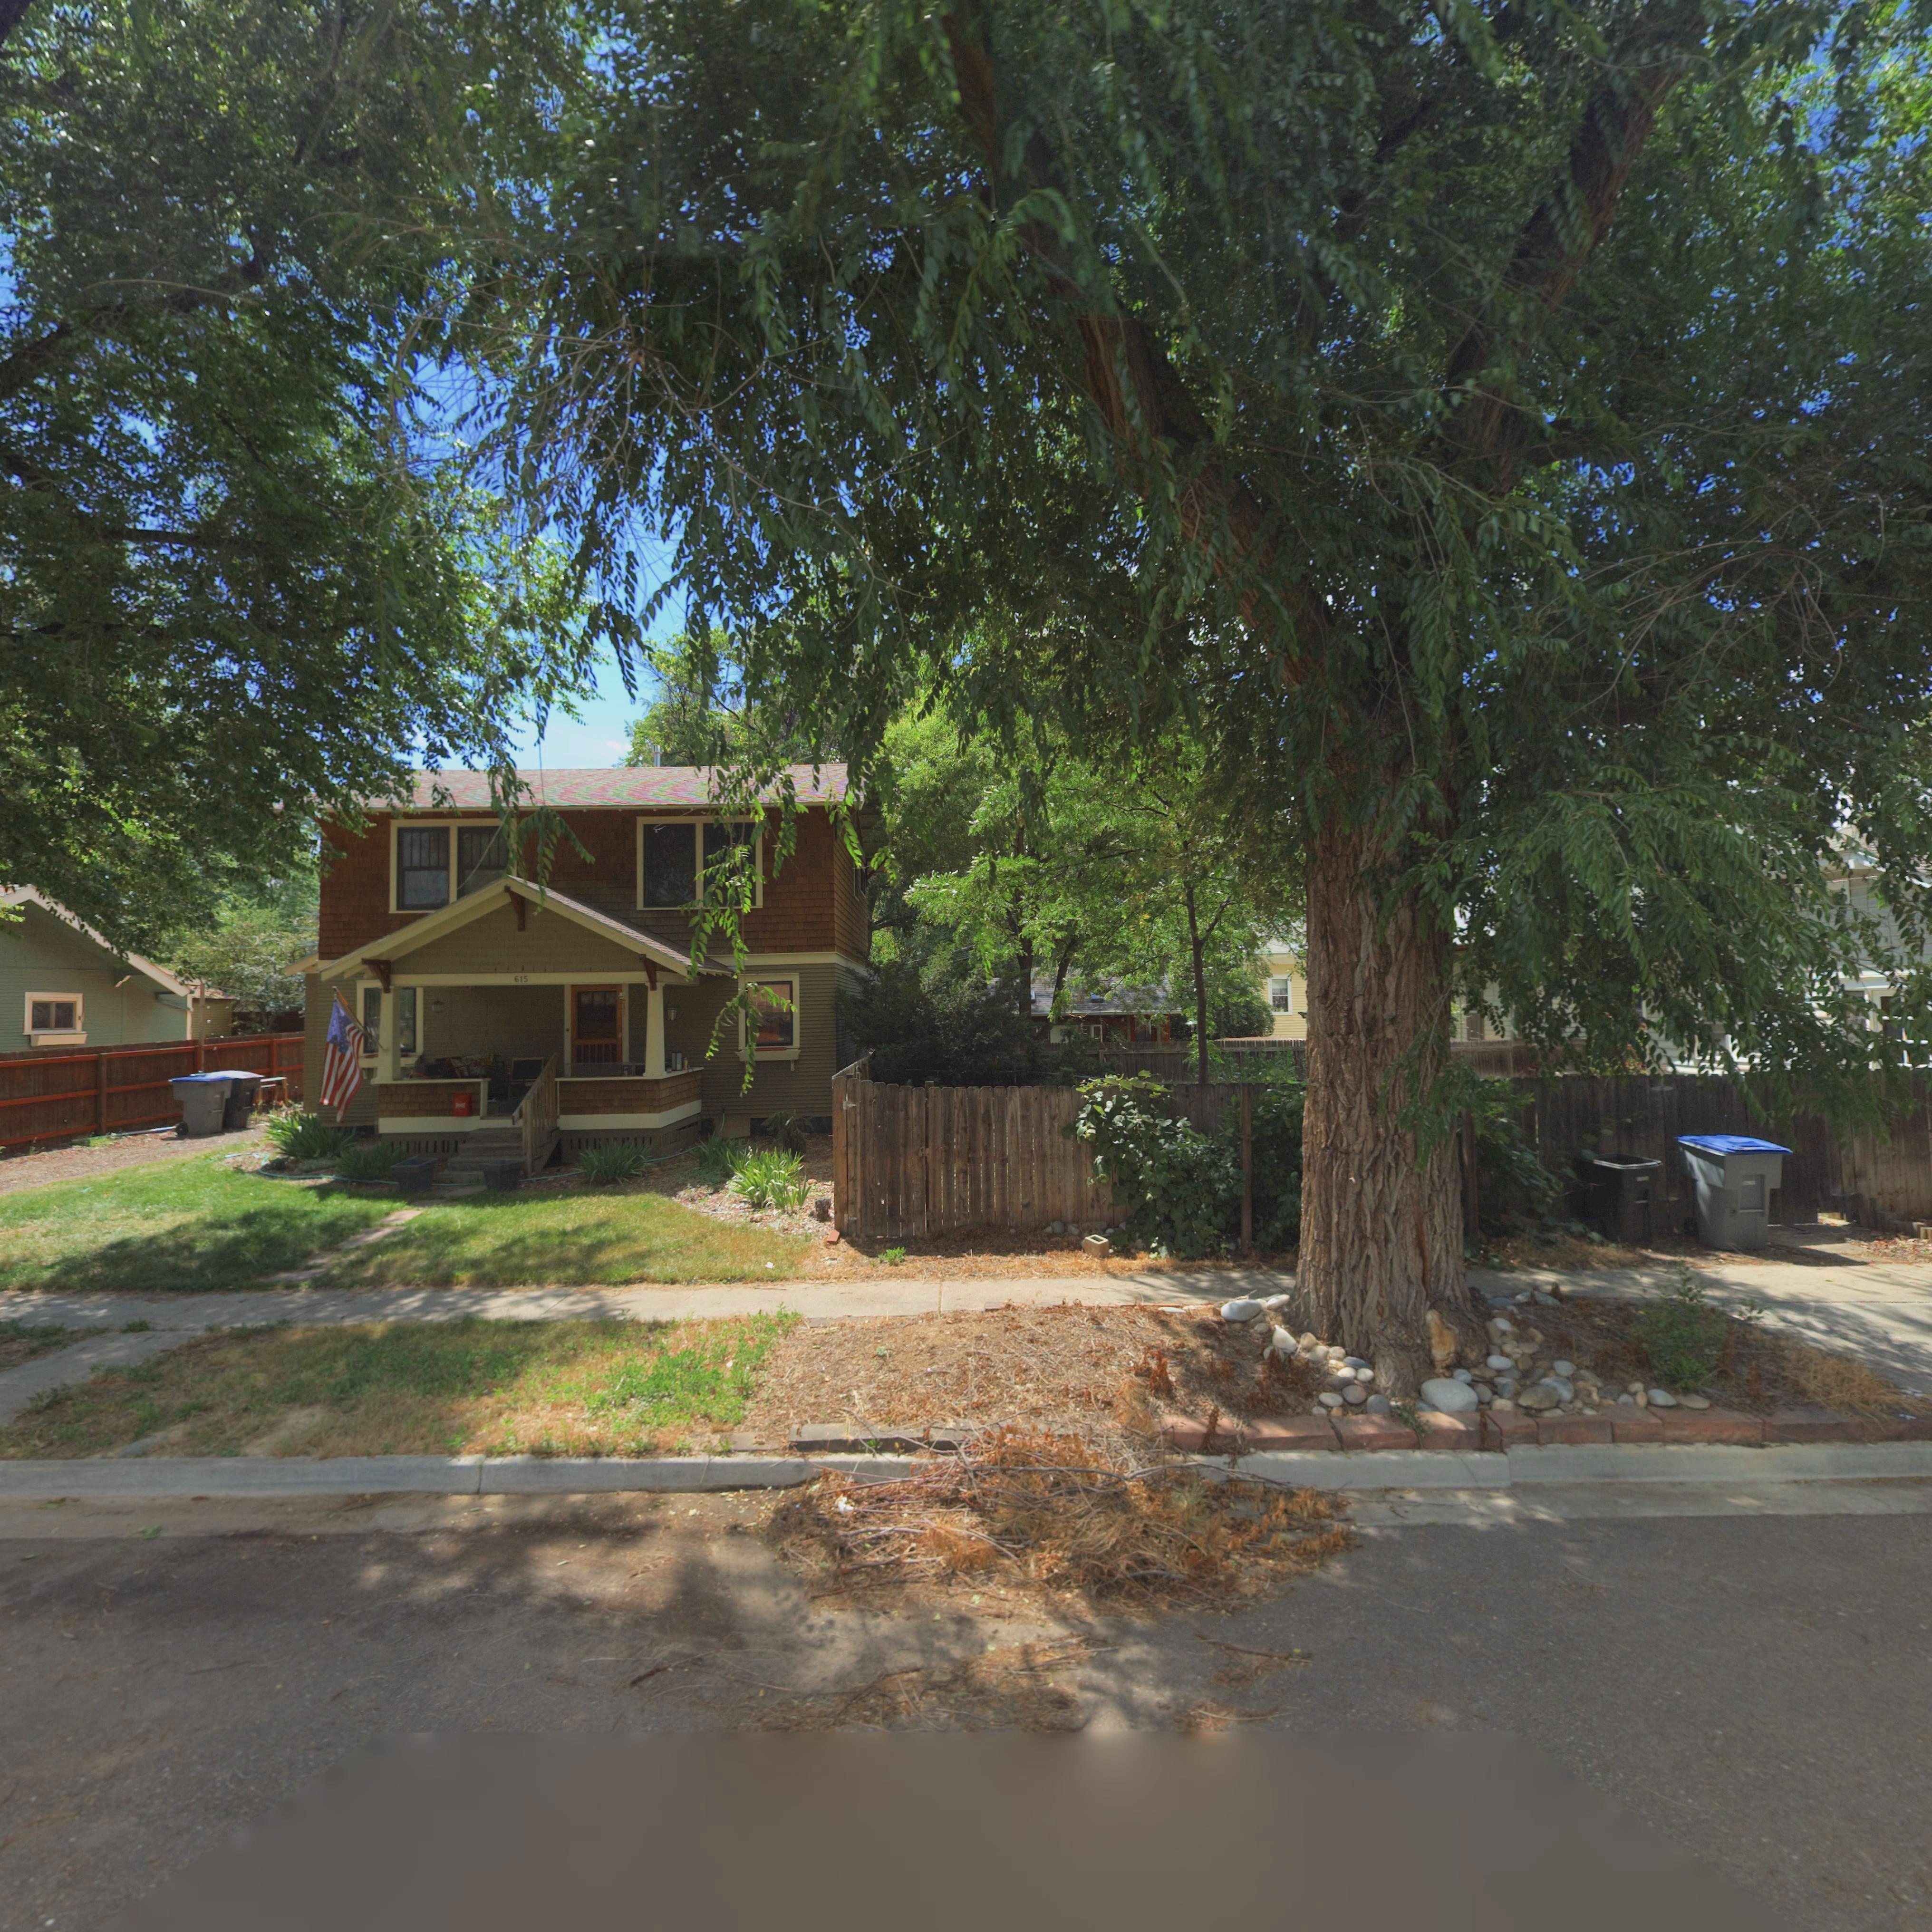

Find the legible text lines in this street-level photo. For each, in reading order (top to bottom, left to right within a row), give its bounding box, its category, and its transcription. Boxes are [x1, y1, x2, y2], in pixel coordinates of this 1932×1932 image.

[513, 975, 528, 983] StreetNumber: 615